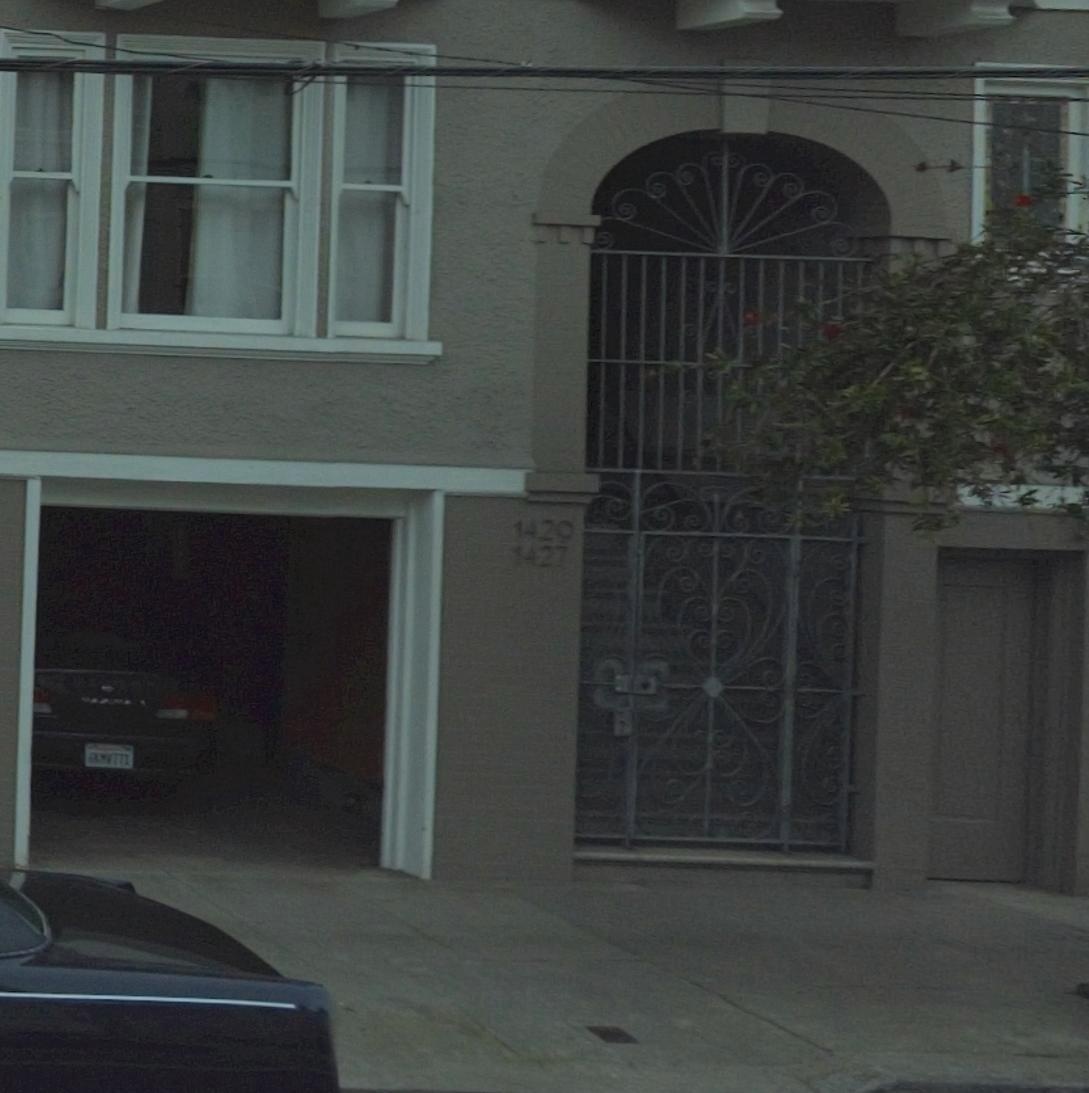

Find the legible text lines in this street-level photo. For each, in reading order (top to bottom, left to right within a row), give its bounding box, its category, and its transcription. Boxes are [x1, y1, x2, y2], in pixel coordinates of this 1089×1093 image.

[513, 518, 575, 544] StreetNumber: 1429
[510, 545, 569, 566] StreetNumber: 1427
[88, 752, 130, 766] None: *****71